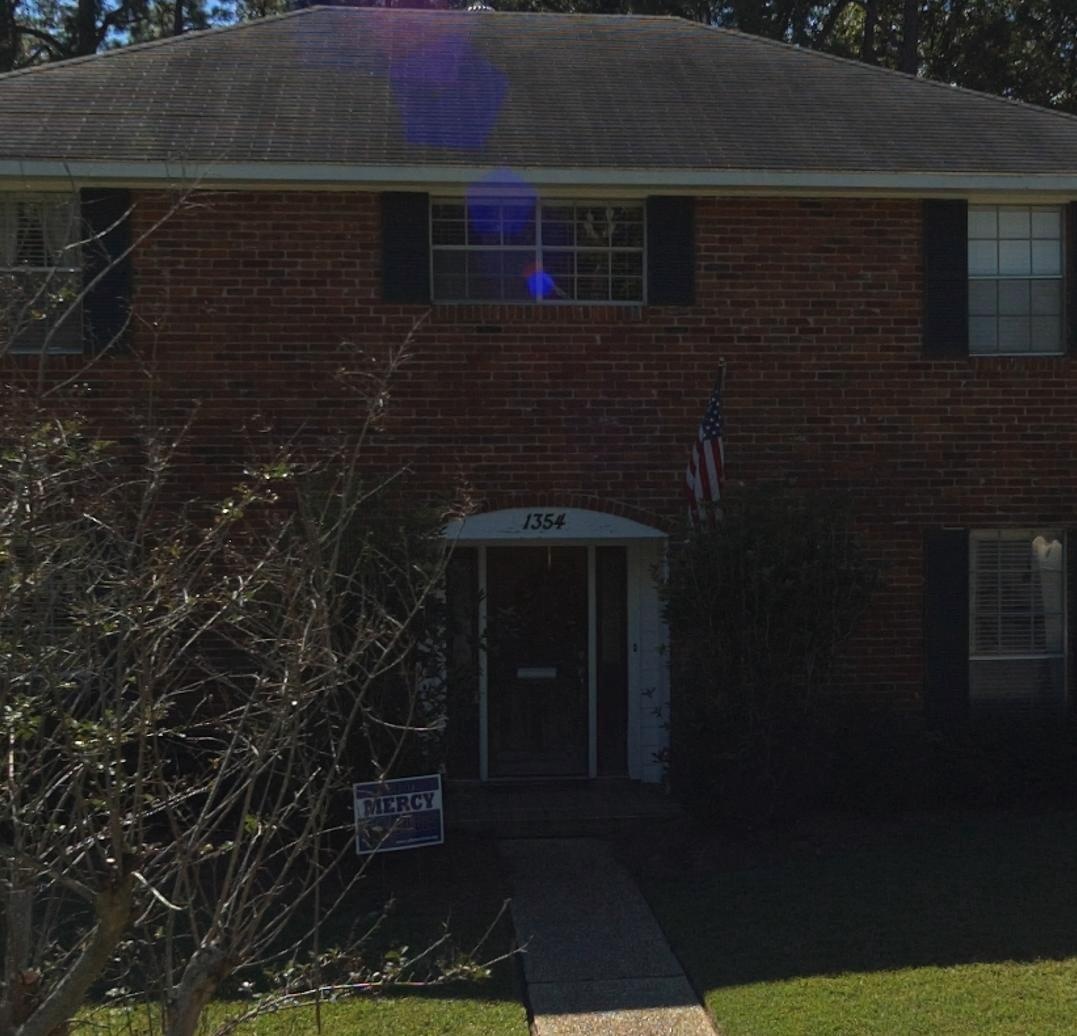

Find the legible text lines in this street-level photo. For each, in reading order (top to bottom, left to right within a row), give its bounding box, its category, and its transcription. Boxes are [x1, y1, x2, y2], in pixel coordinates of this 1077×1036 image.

[521, 511, 568, 532] StreetNumber: 1354
[361, 790, 436, 819] None: MERCY